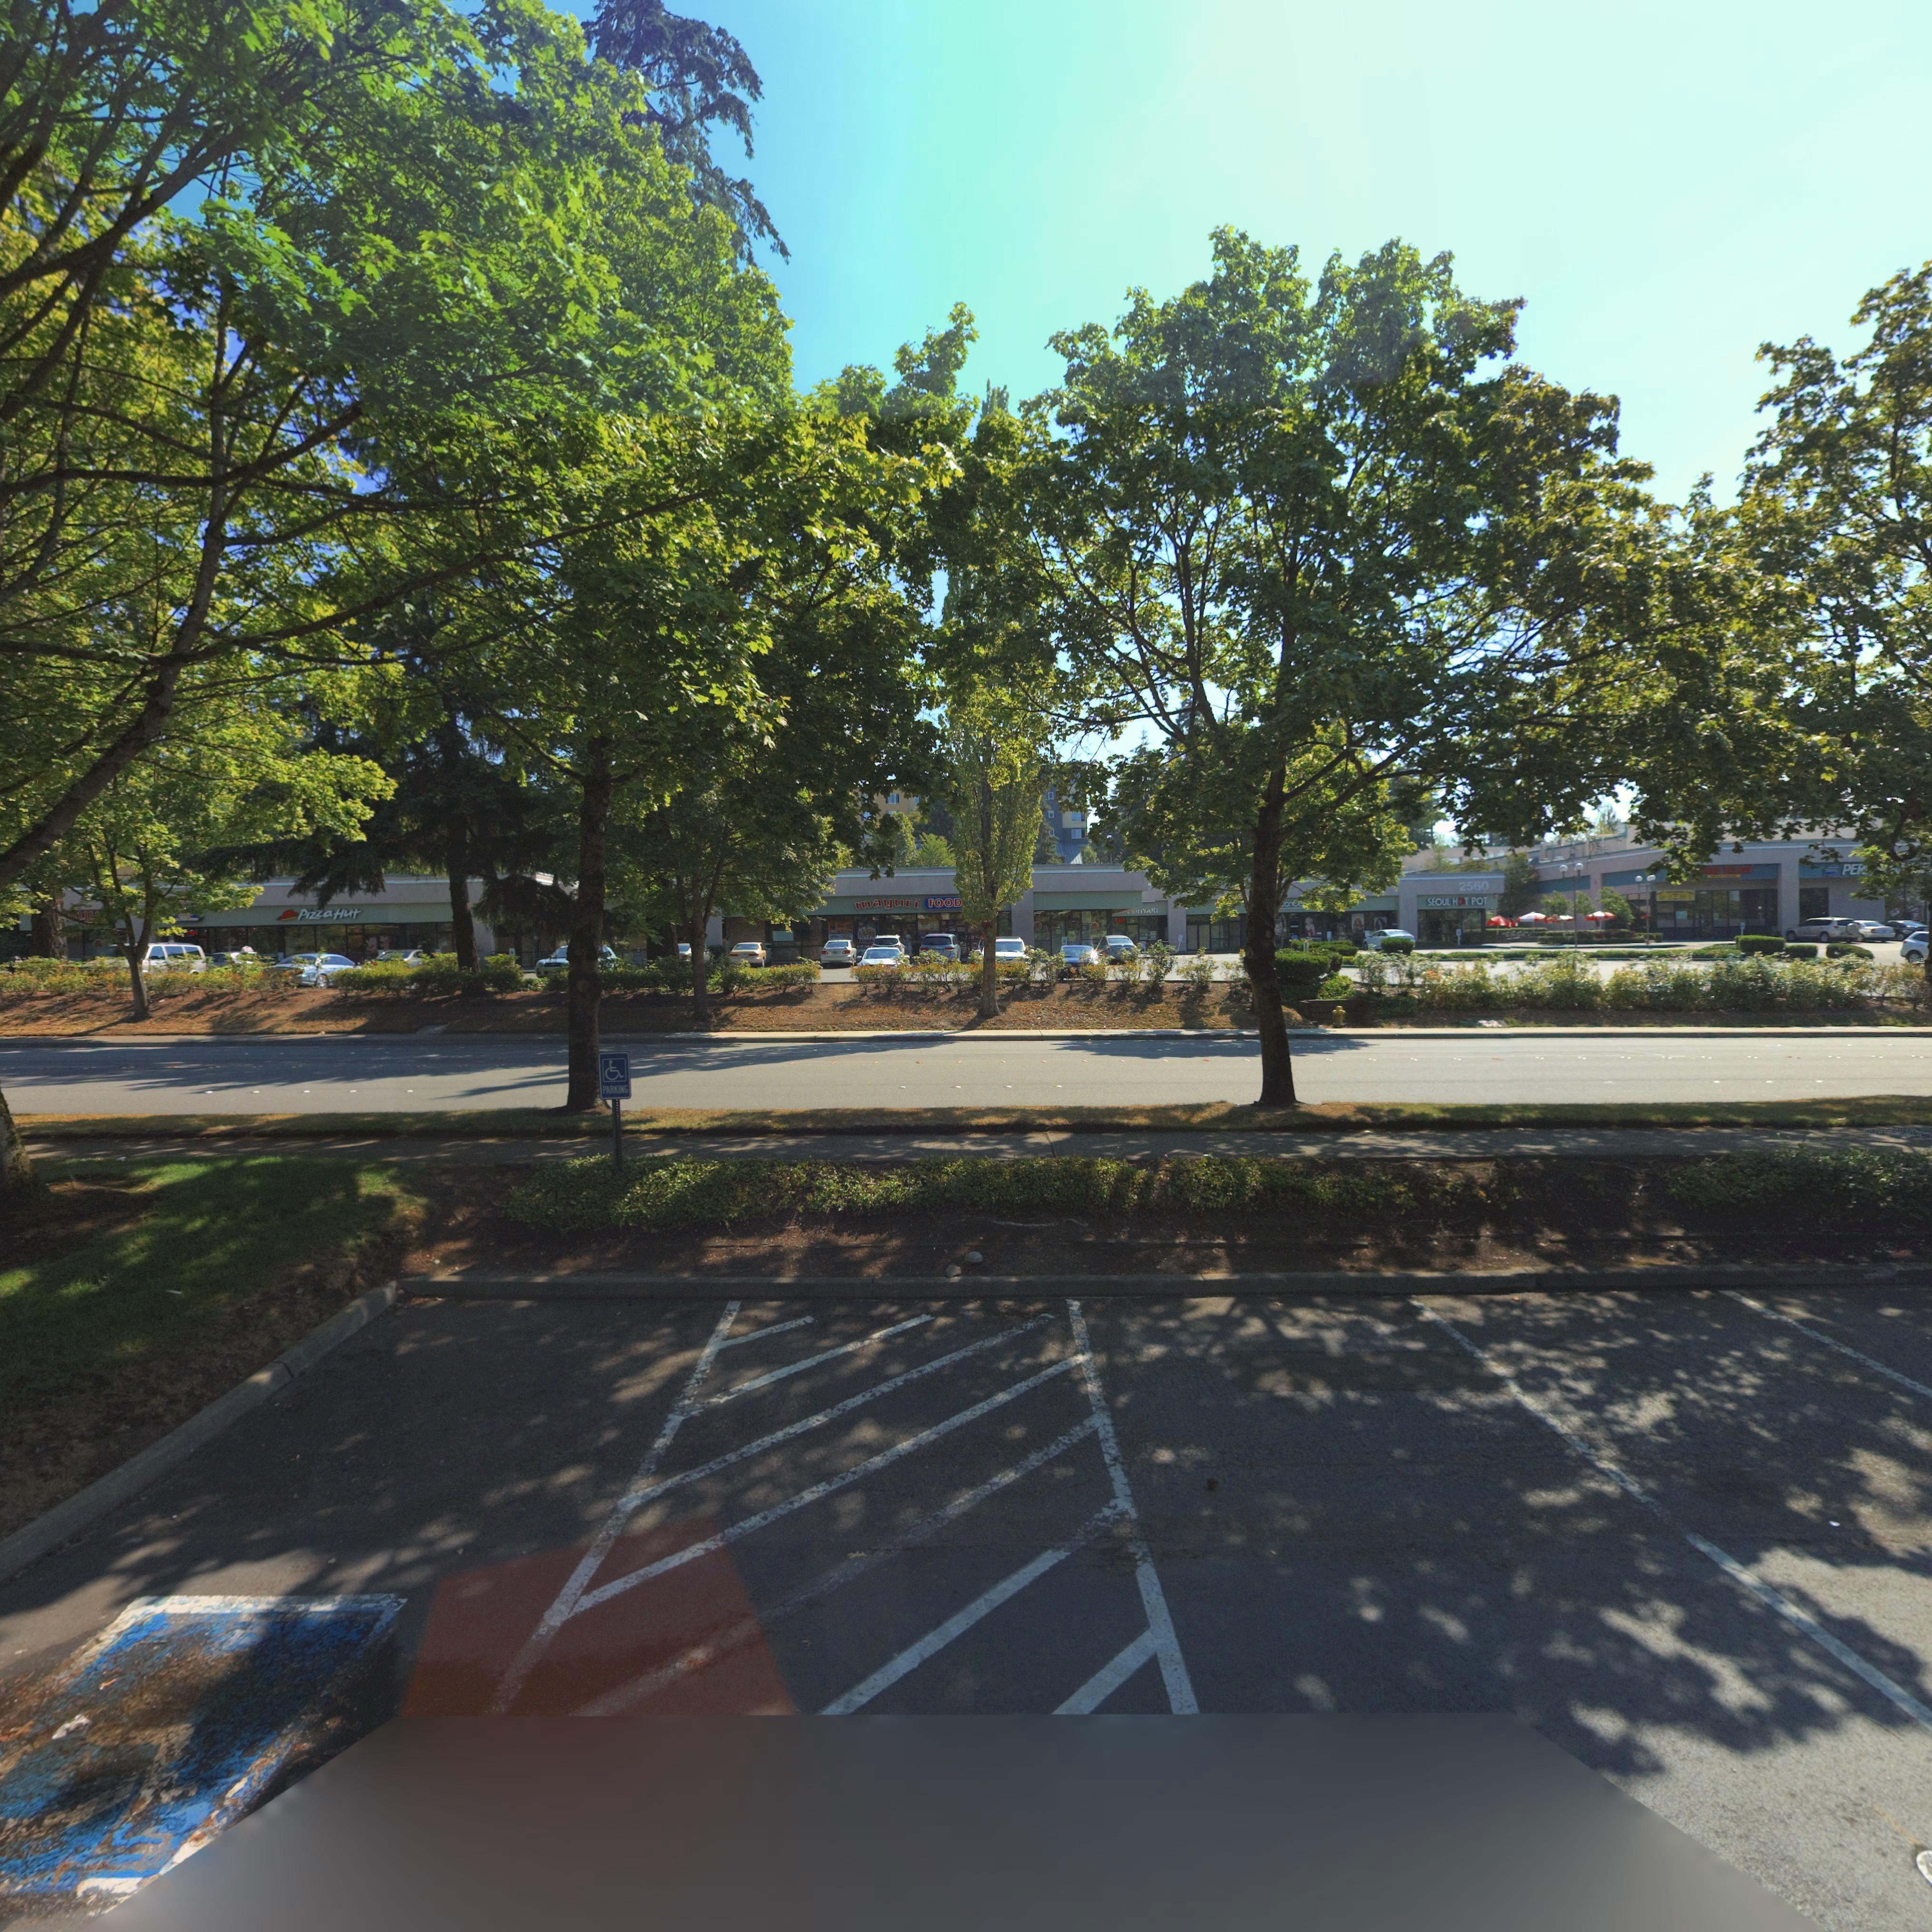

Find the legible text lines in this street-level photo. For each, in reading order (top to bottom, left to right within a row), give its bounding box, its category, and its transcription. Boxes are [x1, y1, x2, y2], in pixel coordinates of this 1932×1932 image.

[1843, 863, 1858, 875] BusinessName: PE
[1459, 881, 1488, 890] StreetName: 2560
[854, 897, 920, 910] BusinessName: mayuri
[928, 898, 962, 907] BusinessName: FOOD
[1426, 896, 1487, 906] None: SEOUL HOT POT
[297, 908, 364, 920] BusinessName: PizzaHut
[1142, 907, 1158, 913] BusinessName: YAKI